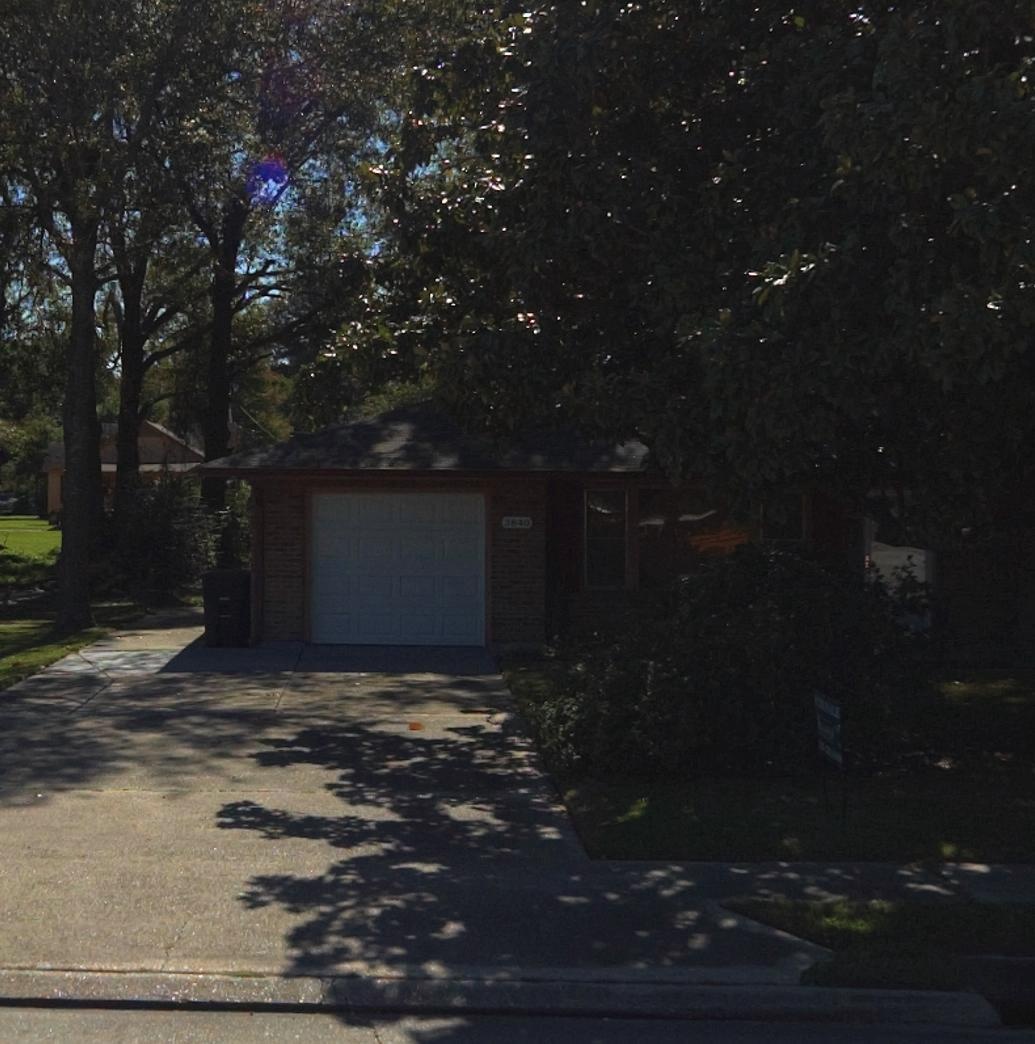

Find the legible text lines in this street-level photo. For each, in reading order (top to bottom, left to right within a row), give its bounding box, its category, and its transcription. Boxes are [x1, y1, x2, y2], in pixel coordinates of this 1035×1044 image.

[504, 518, 531, 527] StreetNumber: 3840